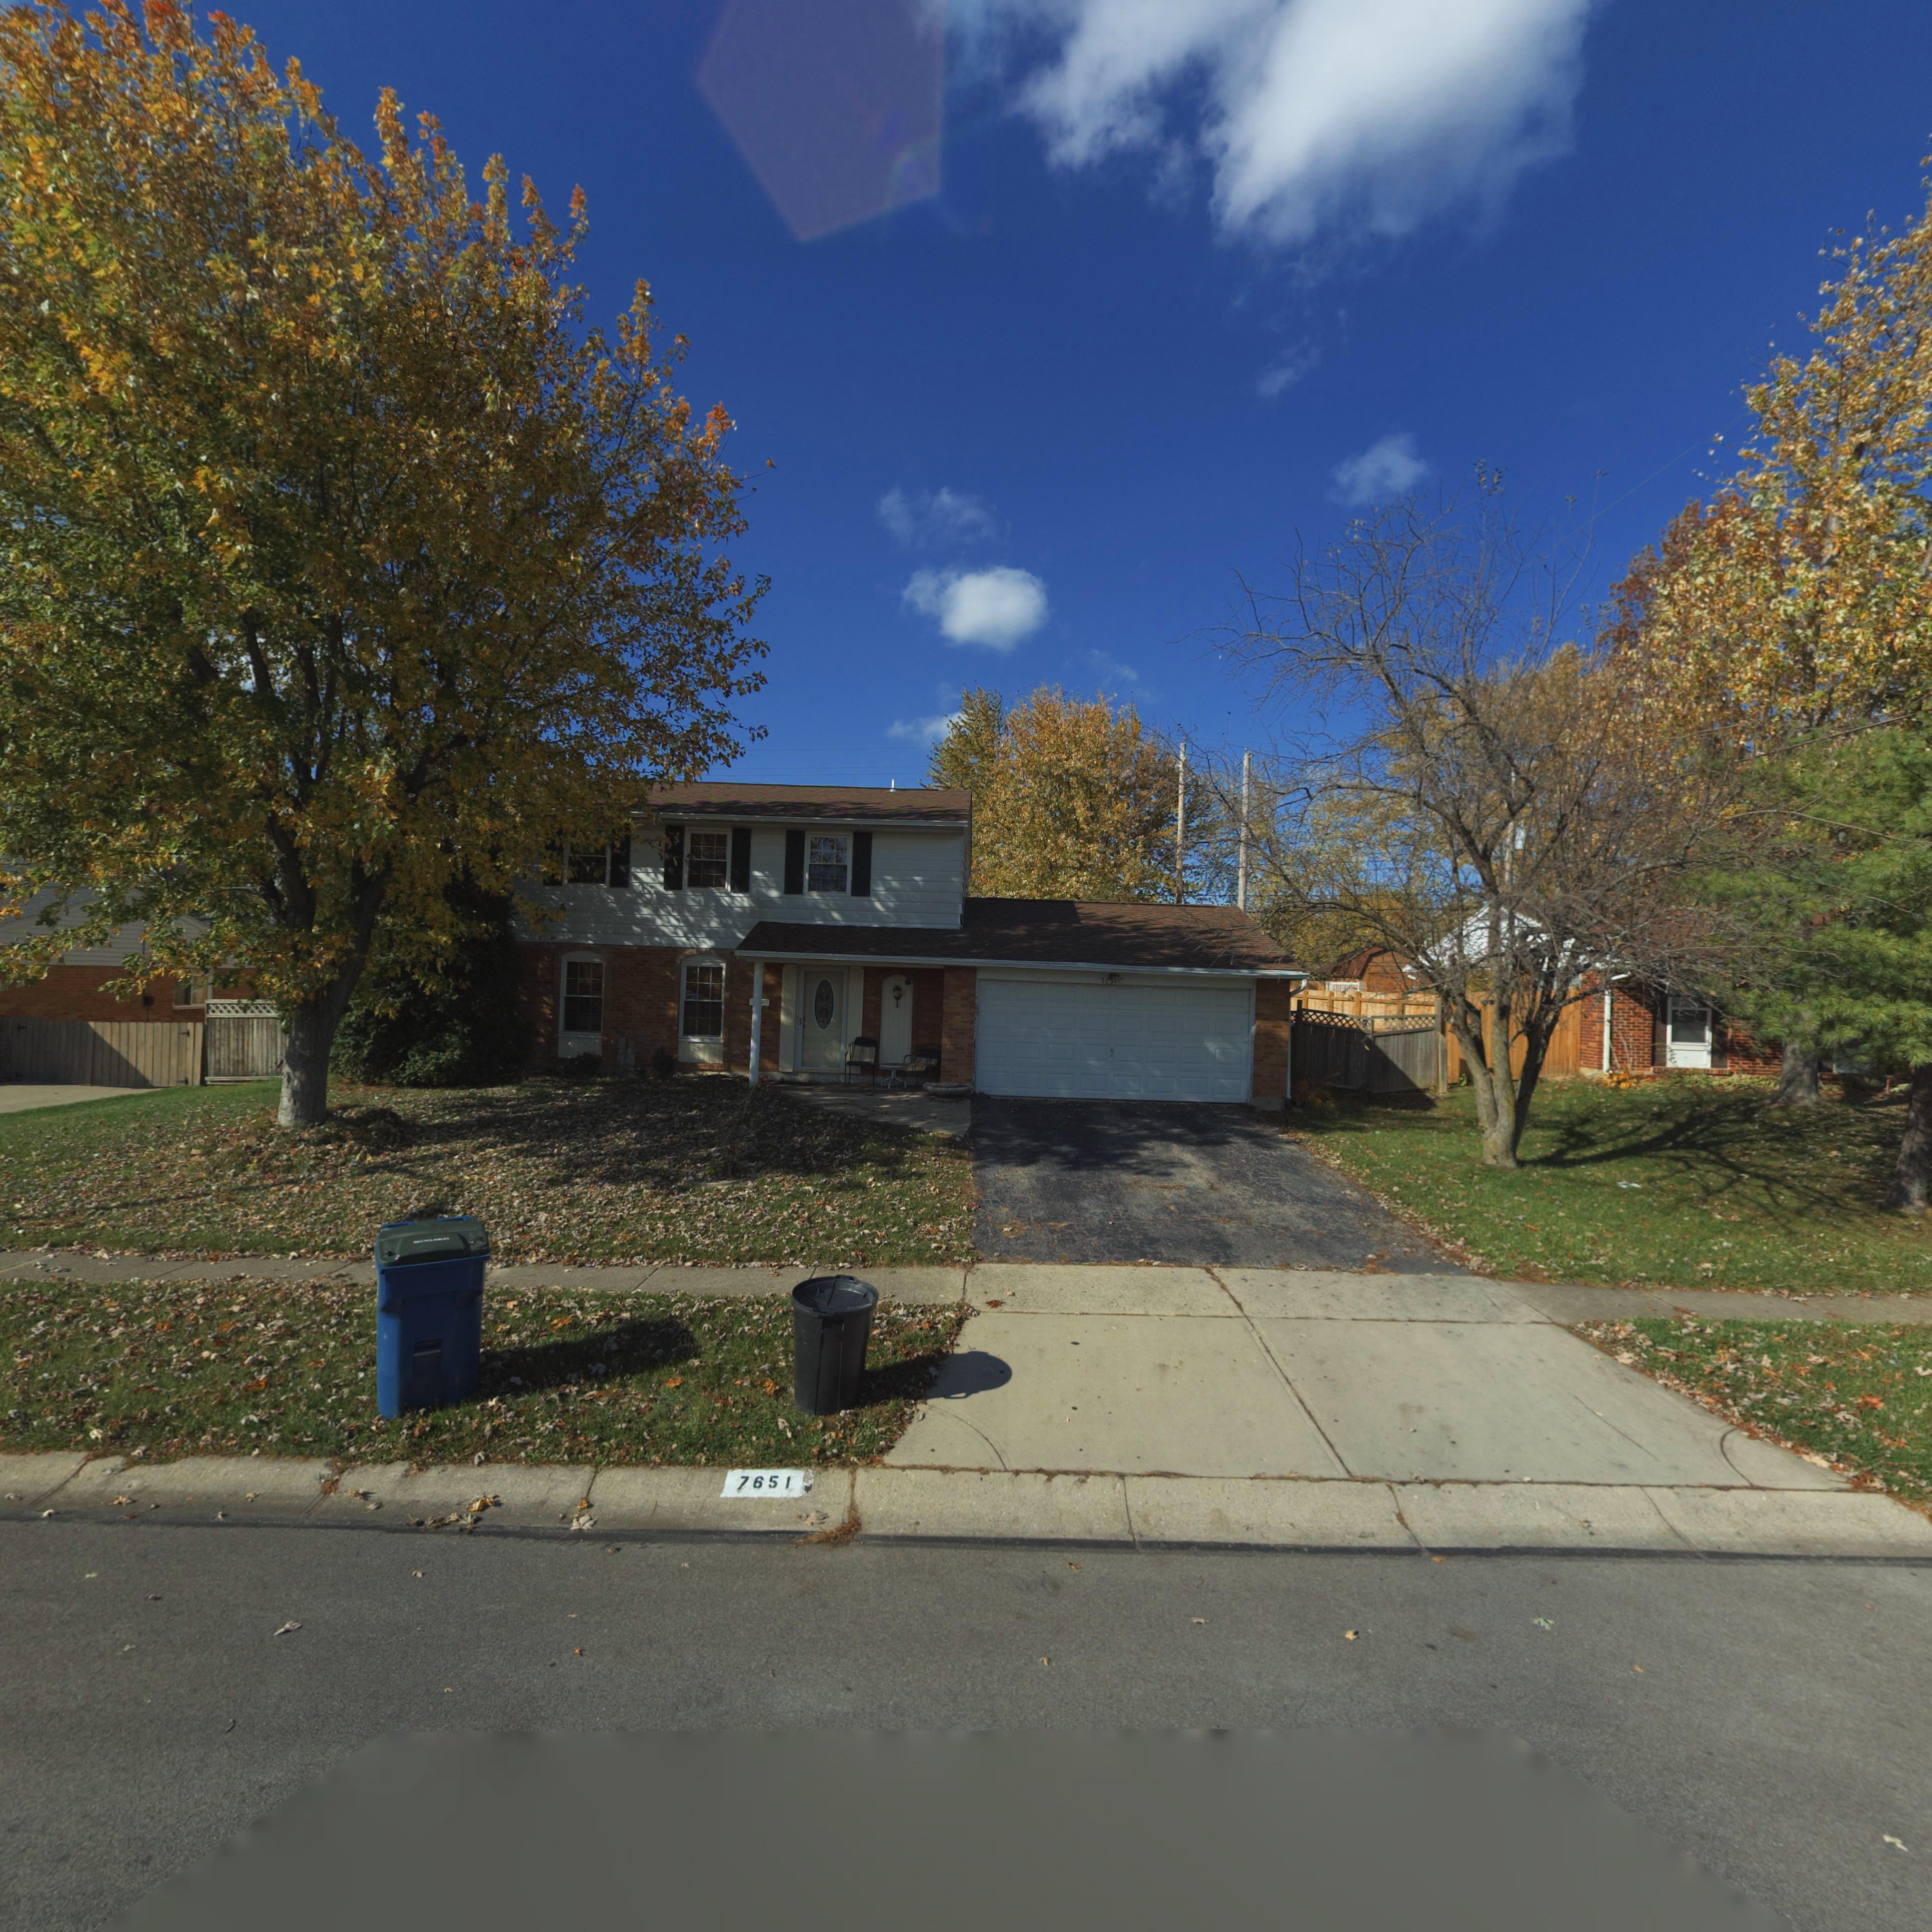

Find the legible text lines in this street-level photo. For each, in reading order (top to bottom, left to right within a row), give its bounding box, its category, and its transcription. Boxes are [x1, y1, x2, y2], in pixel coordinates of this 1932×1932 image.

[1100, 976, 1106, 984] StreetNumber: 7
[735, 1474, 793, 1492] StreetNumber: 7651